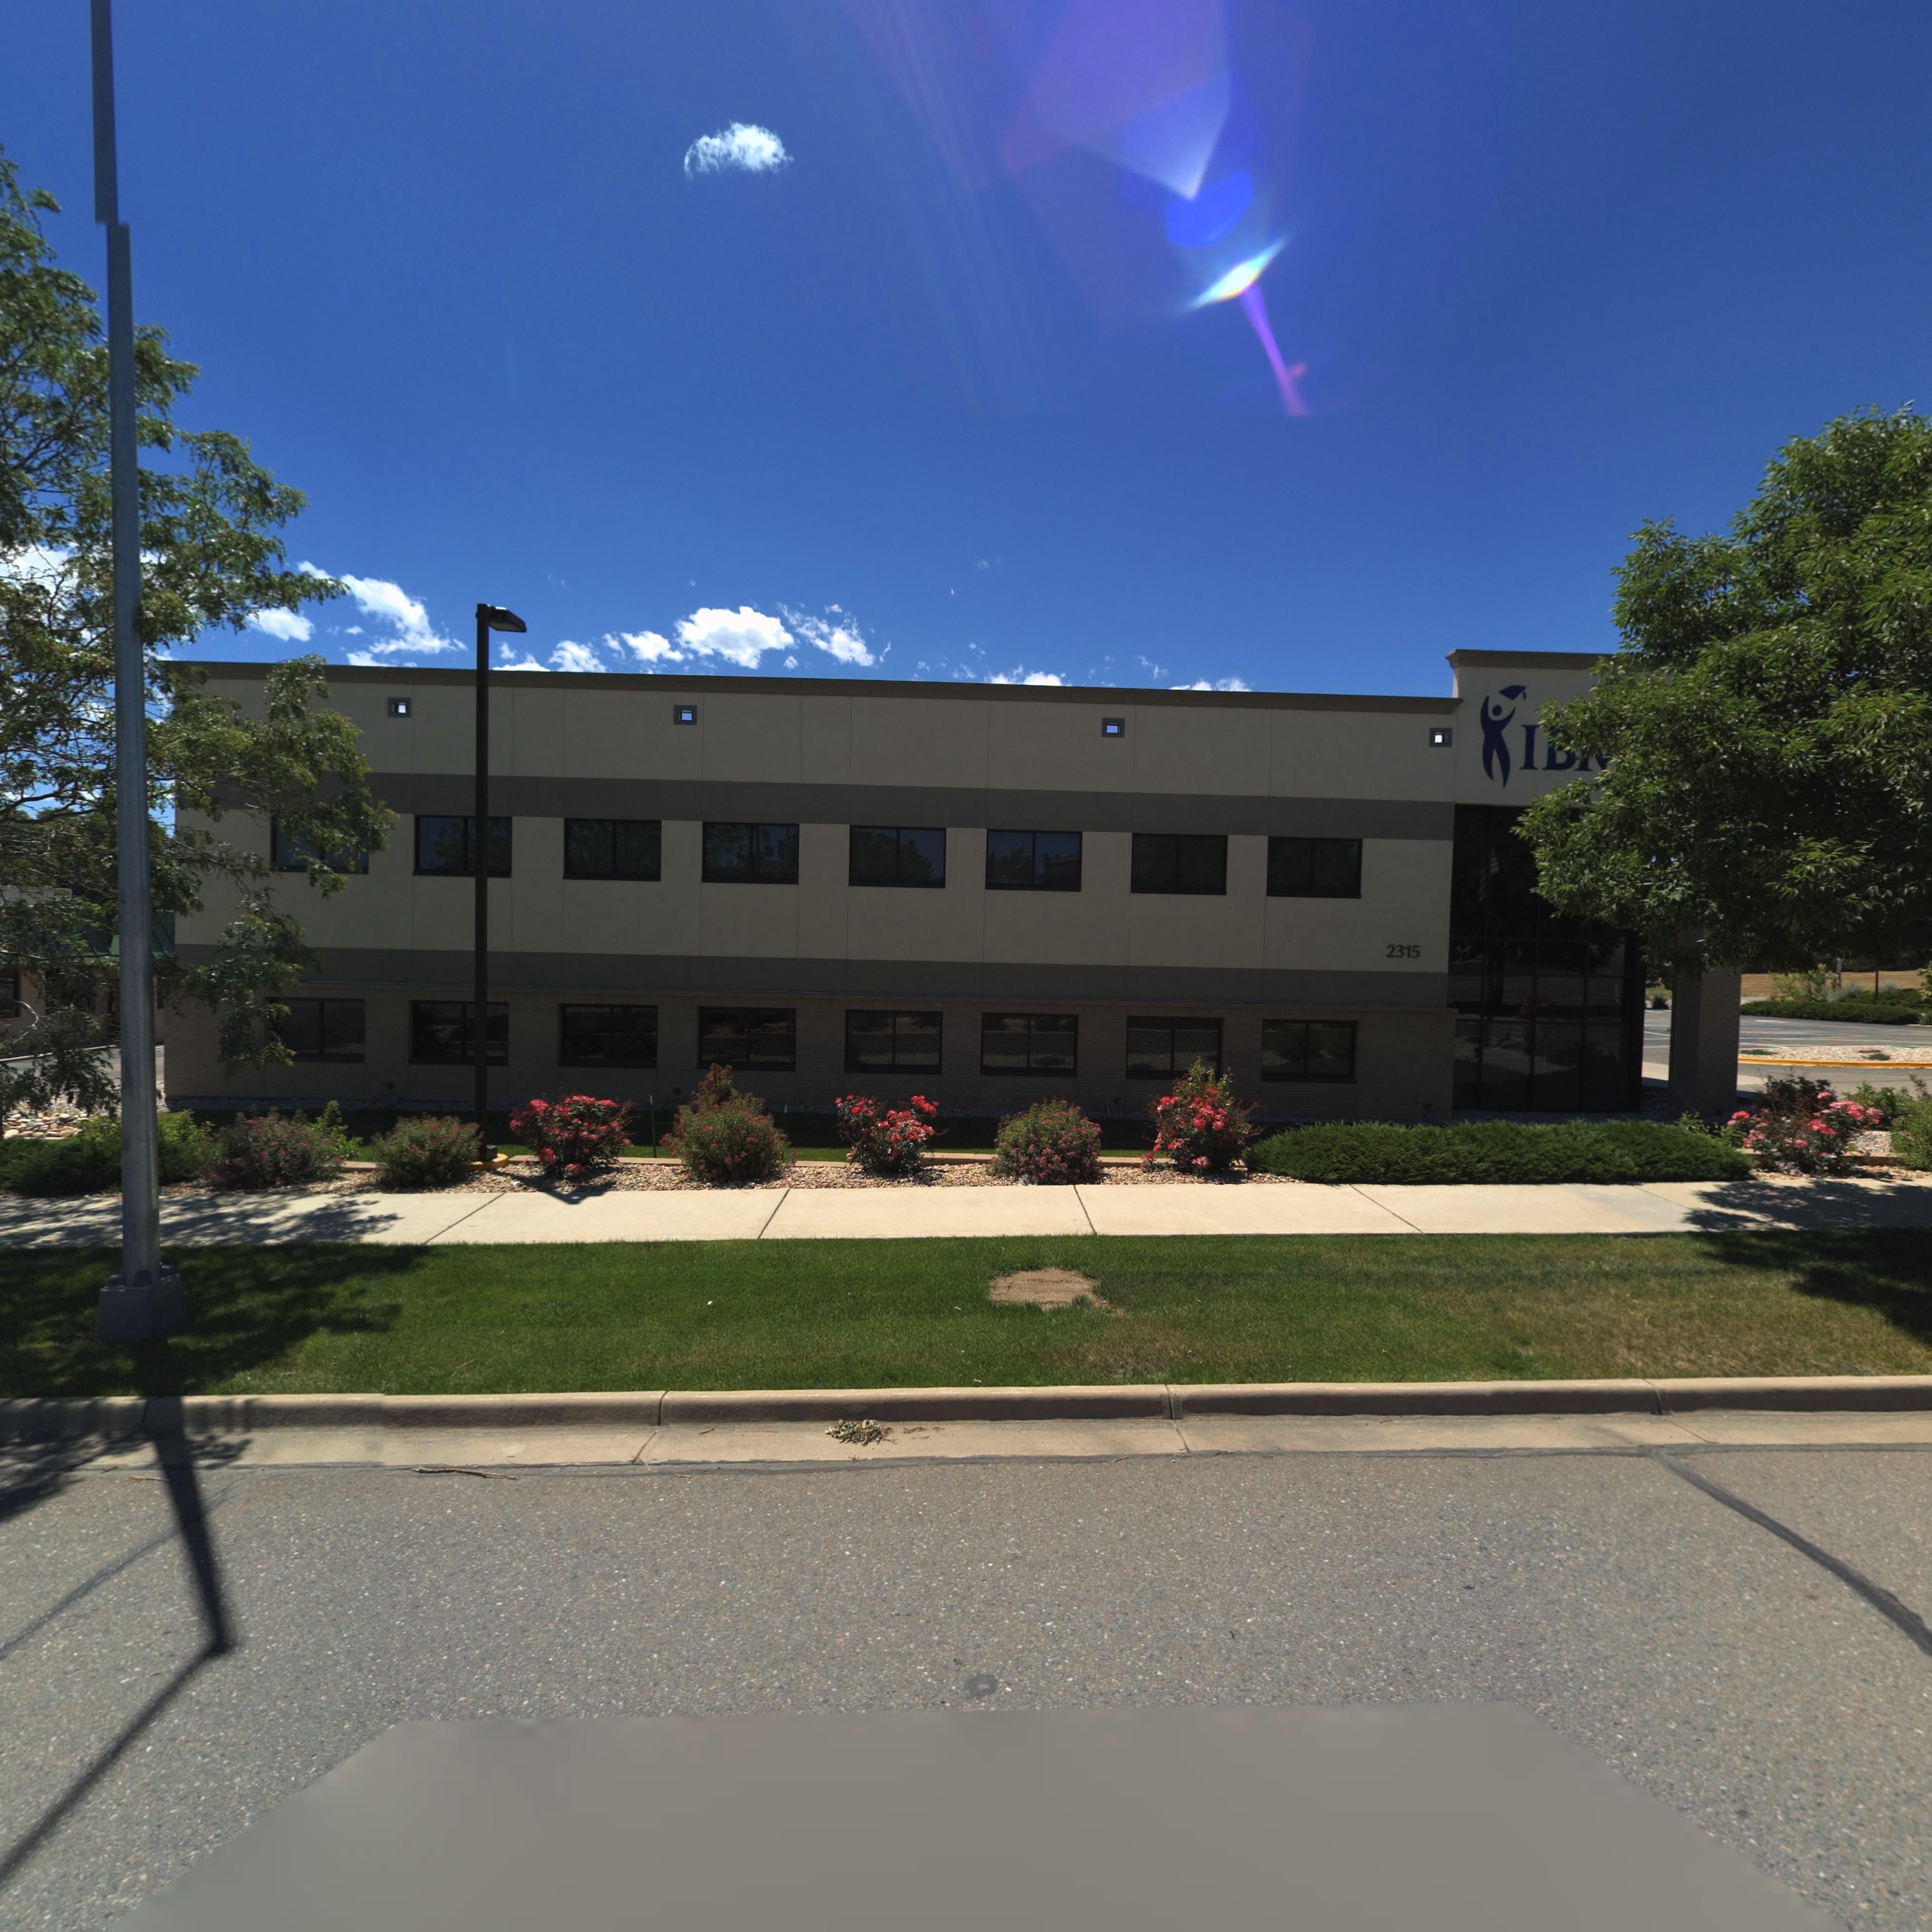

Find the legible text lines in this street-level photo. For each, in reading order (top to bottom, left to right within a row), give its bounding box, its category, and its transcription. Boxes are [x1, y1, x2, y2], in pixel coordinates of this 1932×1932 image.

[1518, 724, 1578, 771] BusinessName: I*
[1386, 944, 1420, 958] StreetNumber: 2315